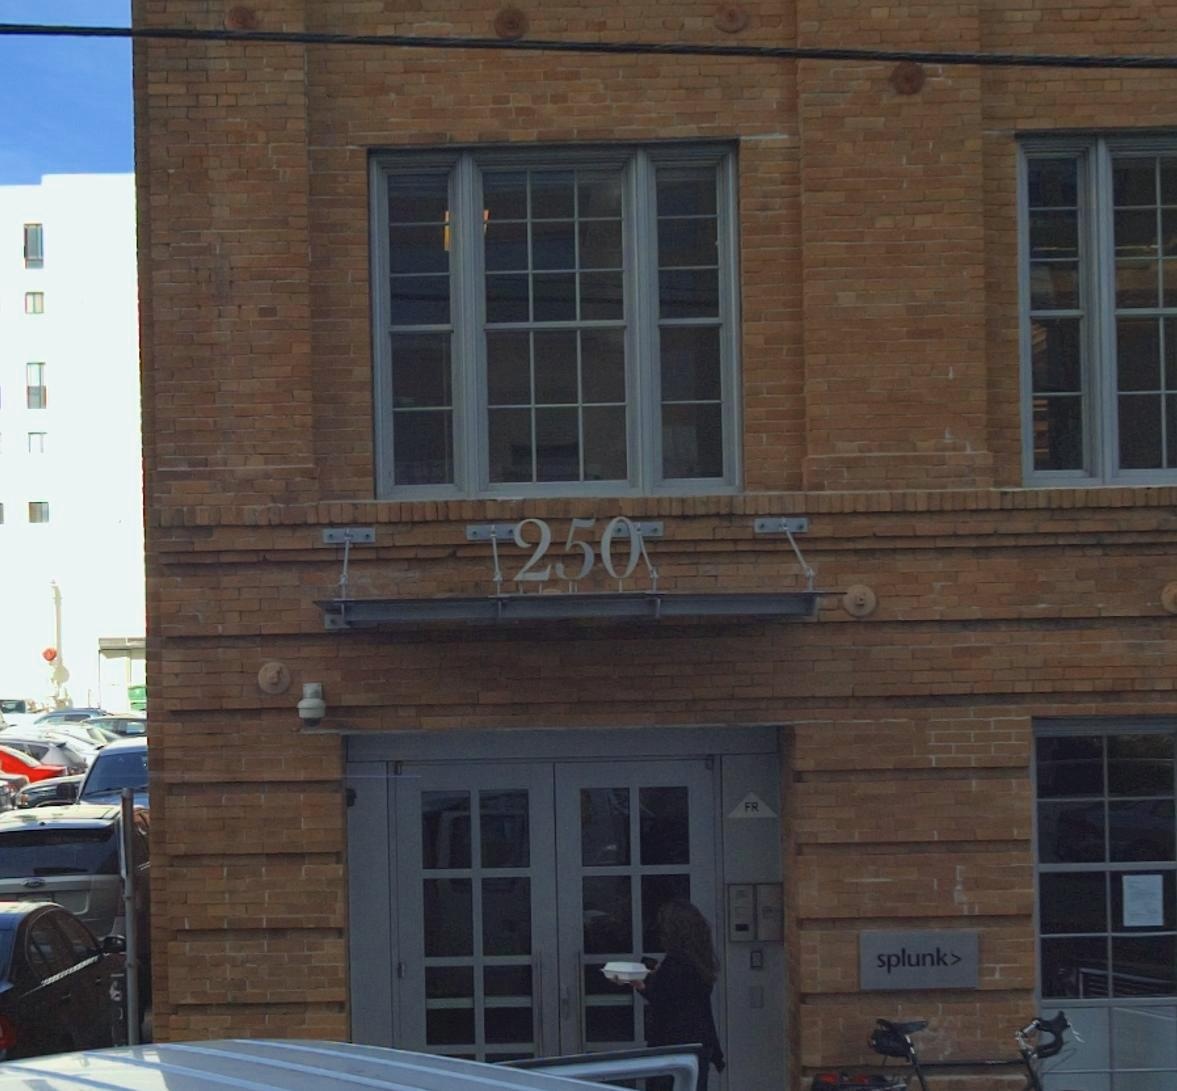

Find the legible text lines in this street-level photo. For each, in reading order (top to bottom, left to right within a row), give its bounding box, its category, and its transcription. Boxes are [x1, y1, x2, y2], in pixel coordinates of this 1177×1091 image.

[508, 510, 646, 587] StreetNumber: 250
[743, 800, 761, 815] None: FR
[873, 941, 952, 981] BusinessName: splunk